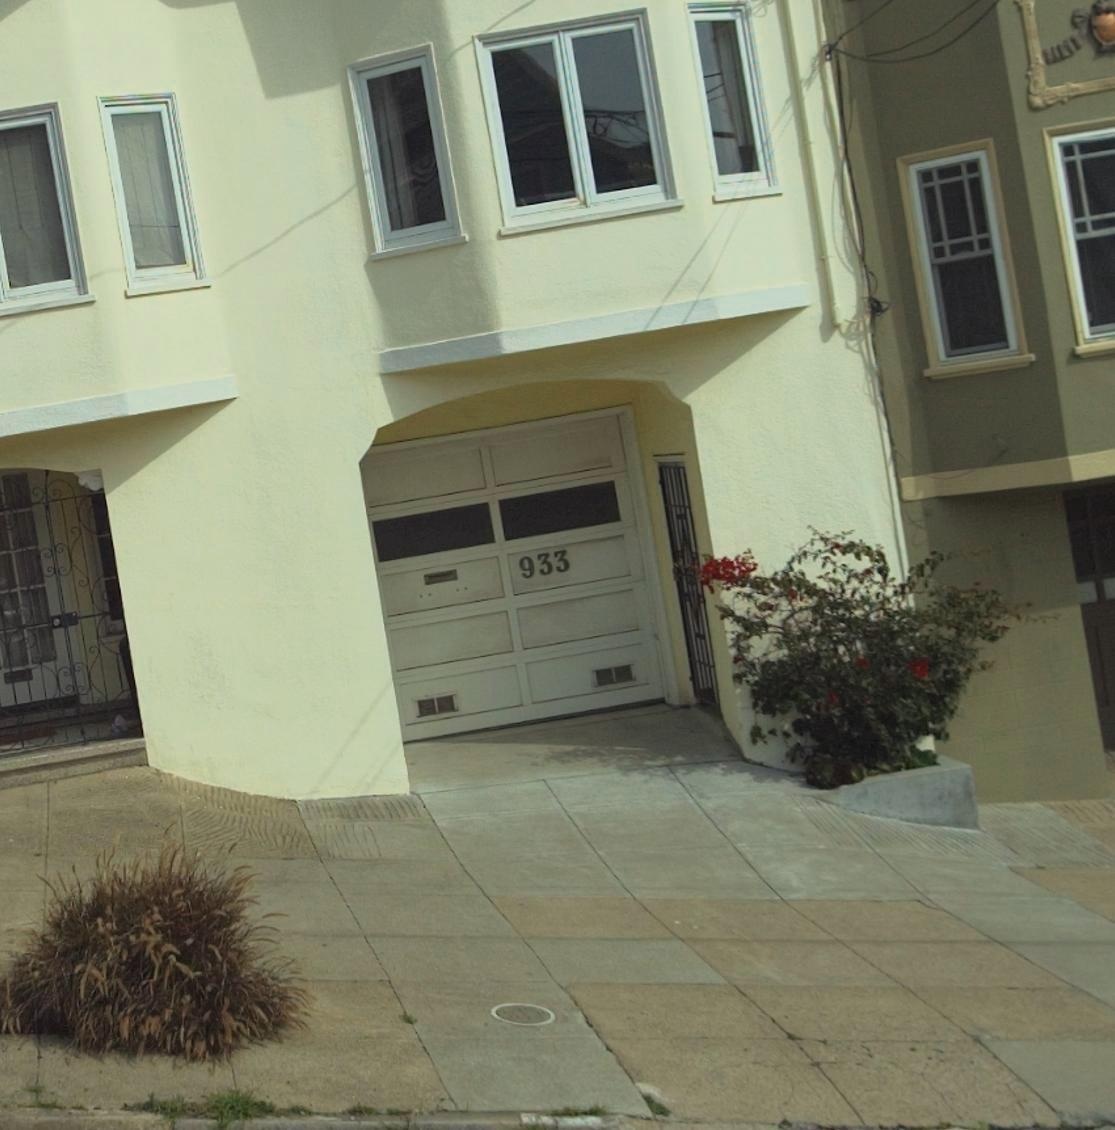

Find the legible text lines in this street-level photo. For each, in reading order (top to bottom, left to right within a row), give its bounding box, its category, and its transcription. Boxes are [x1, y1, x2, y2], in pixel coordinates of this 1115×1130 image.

[517, 548, 571, 581] StreetNumber: 933